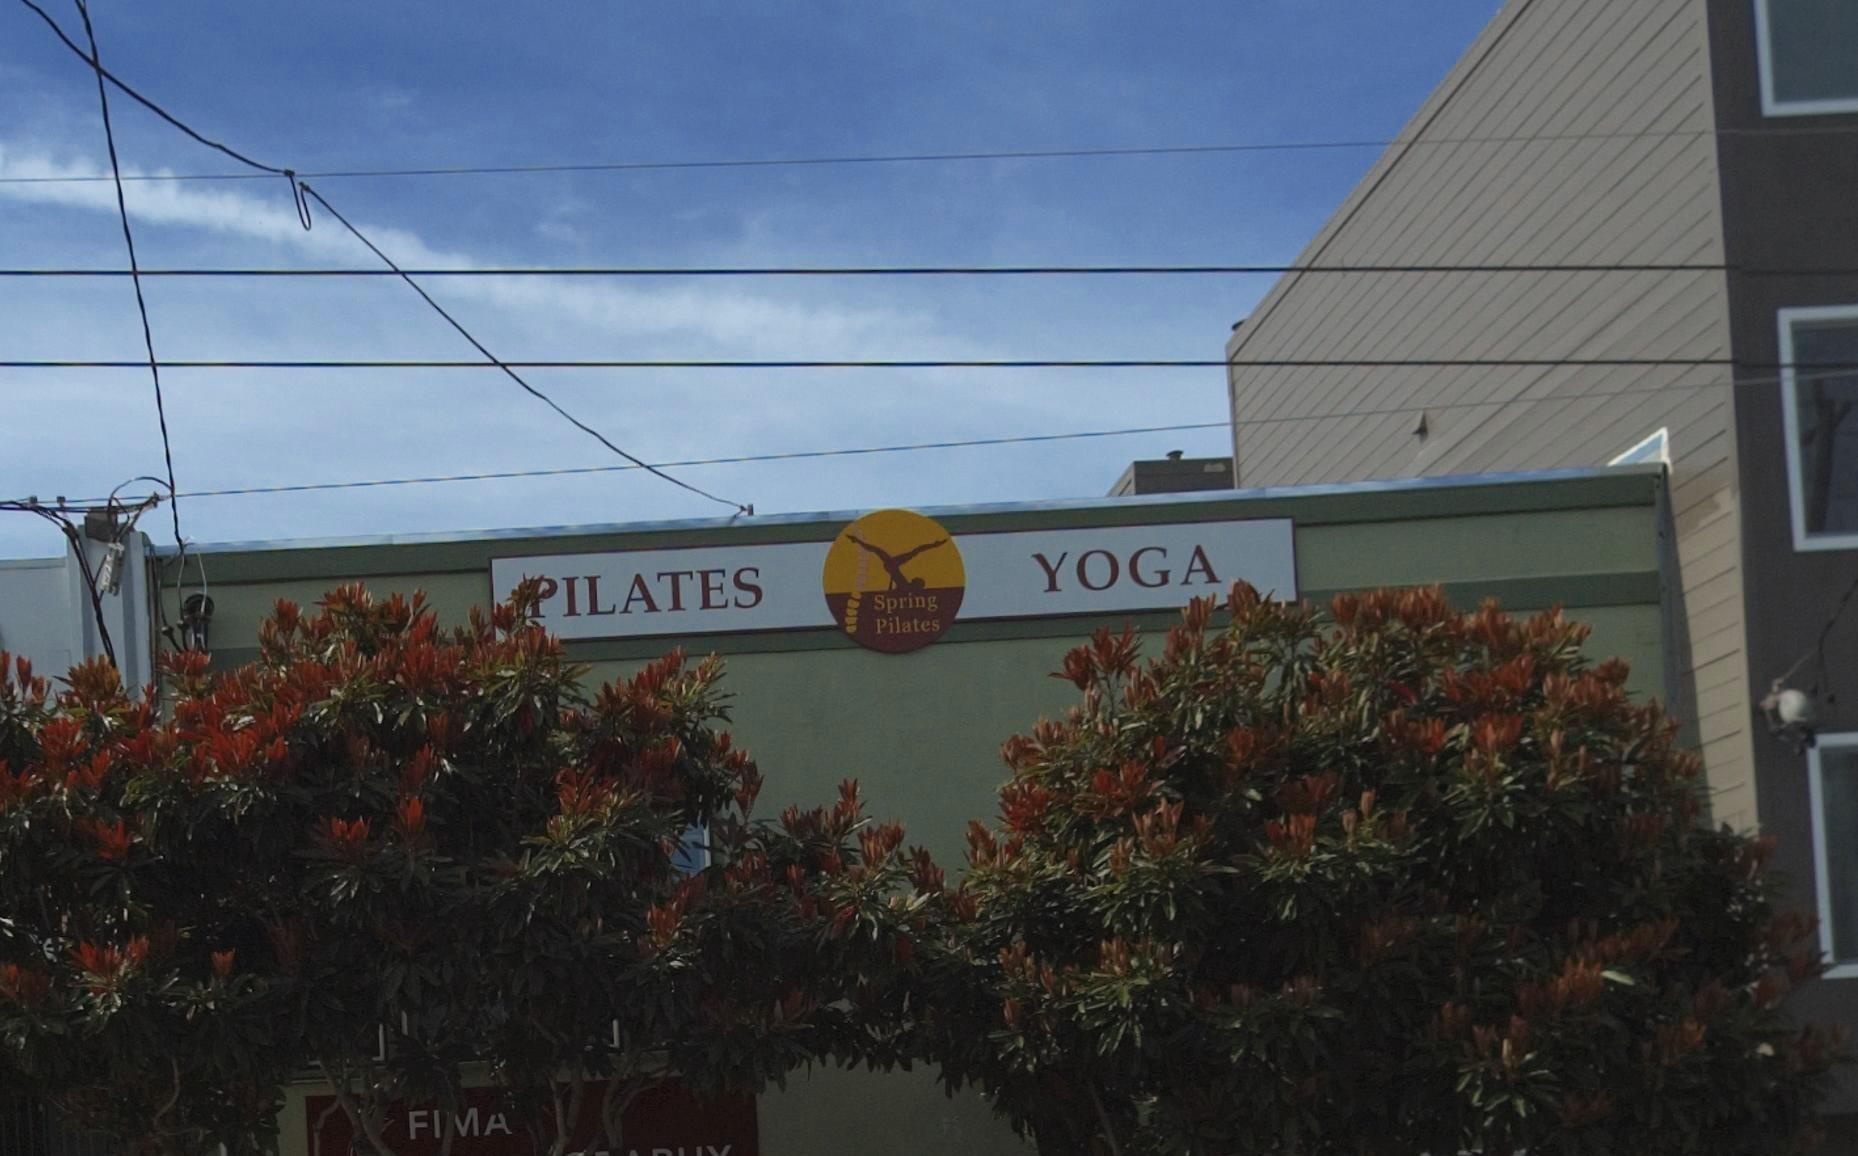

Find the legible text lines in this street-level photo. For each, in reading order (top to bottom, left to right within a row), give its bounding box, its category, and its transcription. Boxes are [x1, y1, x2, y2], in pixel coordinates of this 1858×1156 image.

[528, 543, 1223, 619] BusinessName: *ILATES YOGA
[874, 591, 939, 615] BusinessName: Spring
[875, 615, 941, 635] BusinessName: Pilates
[406, 1104, 515, 1142] None: FI*A